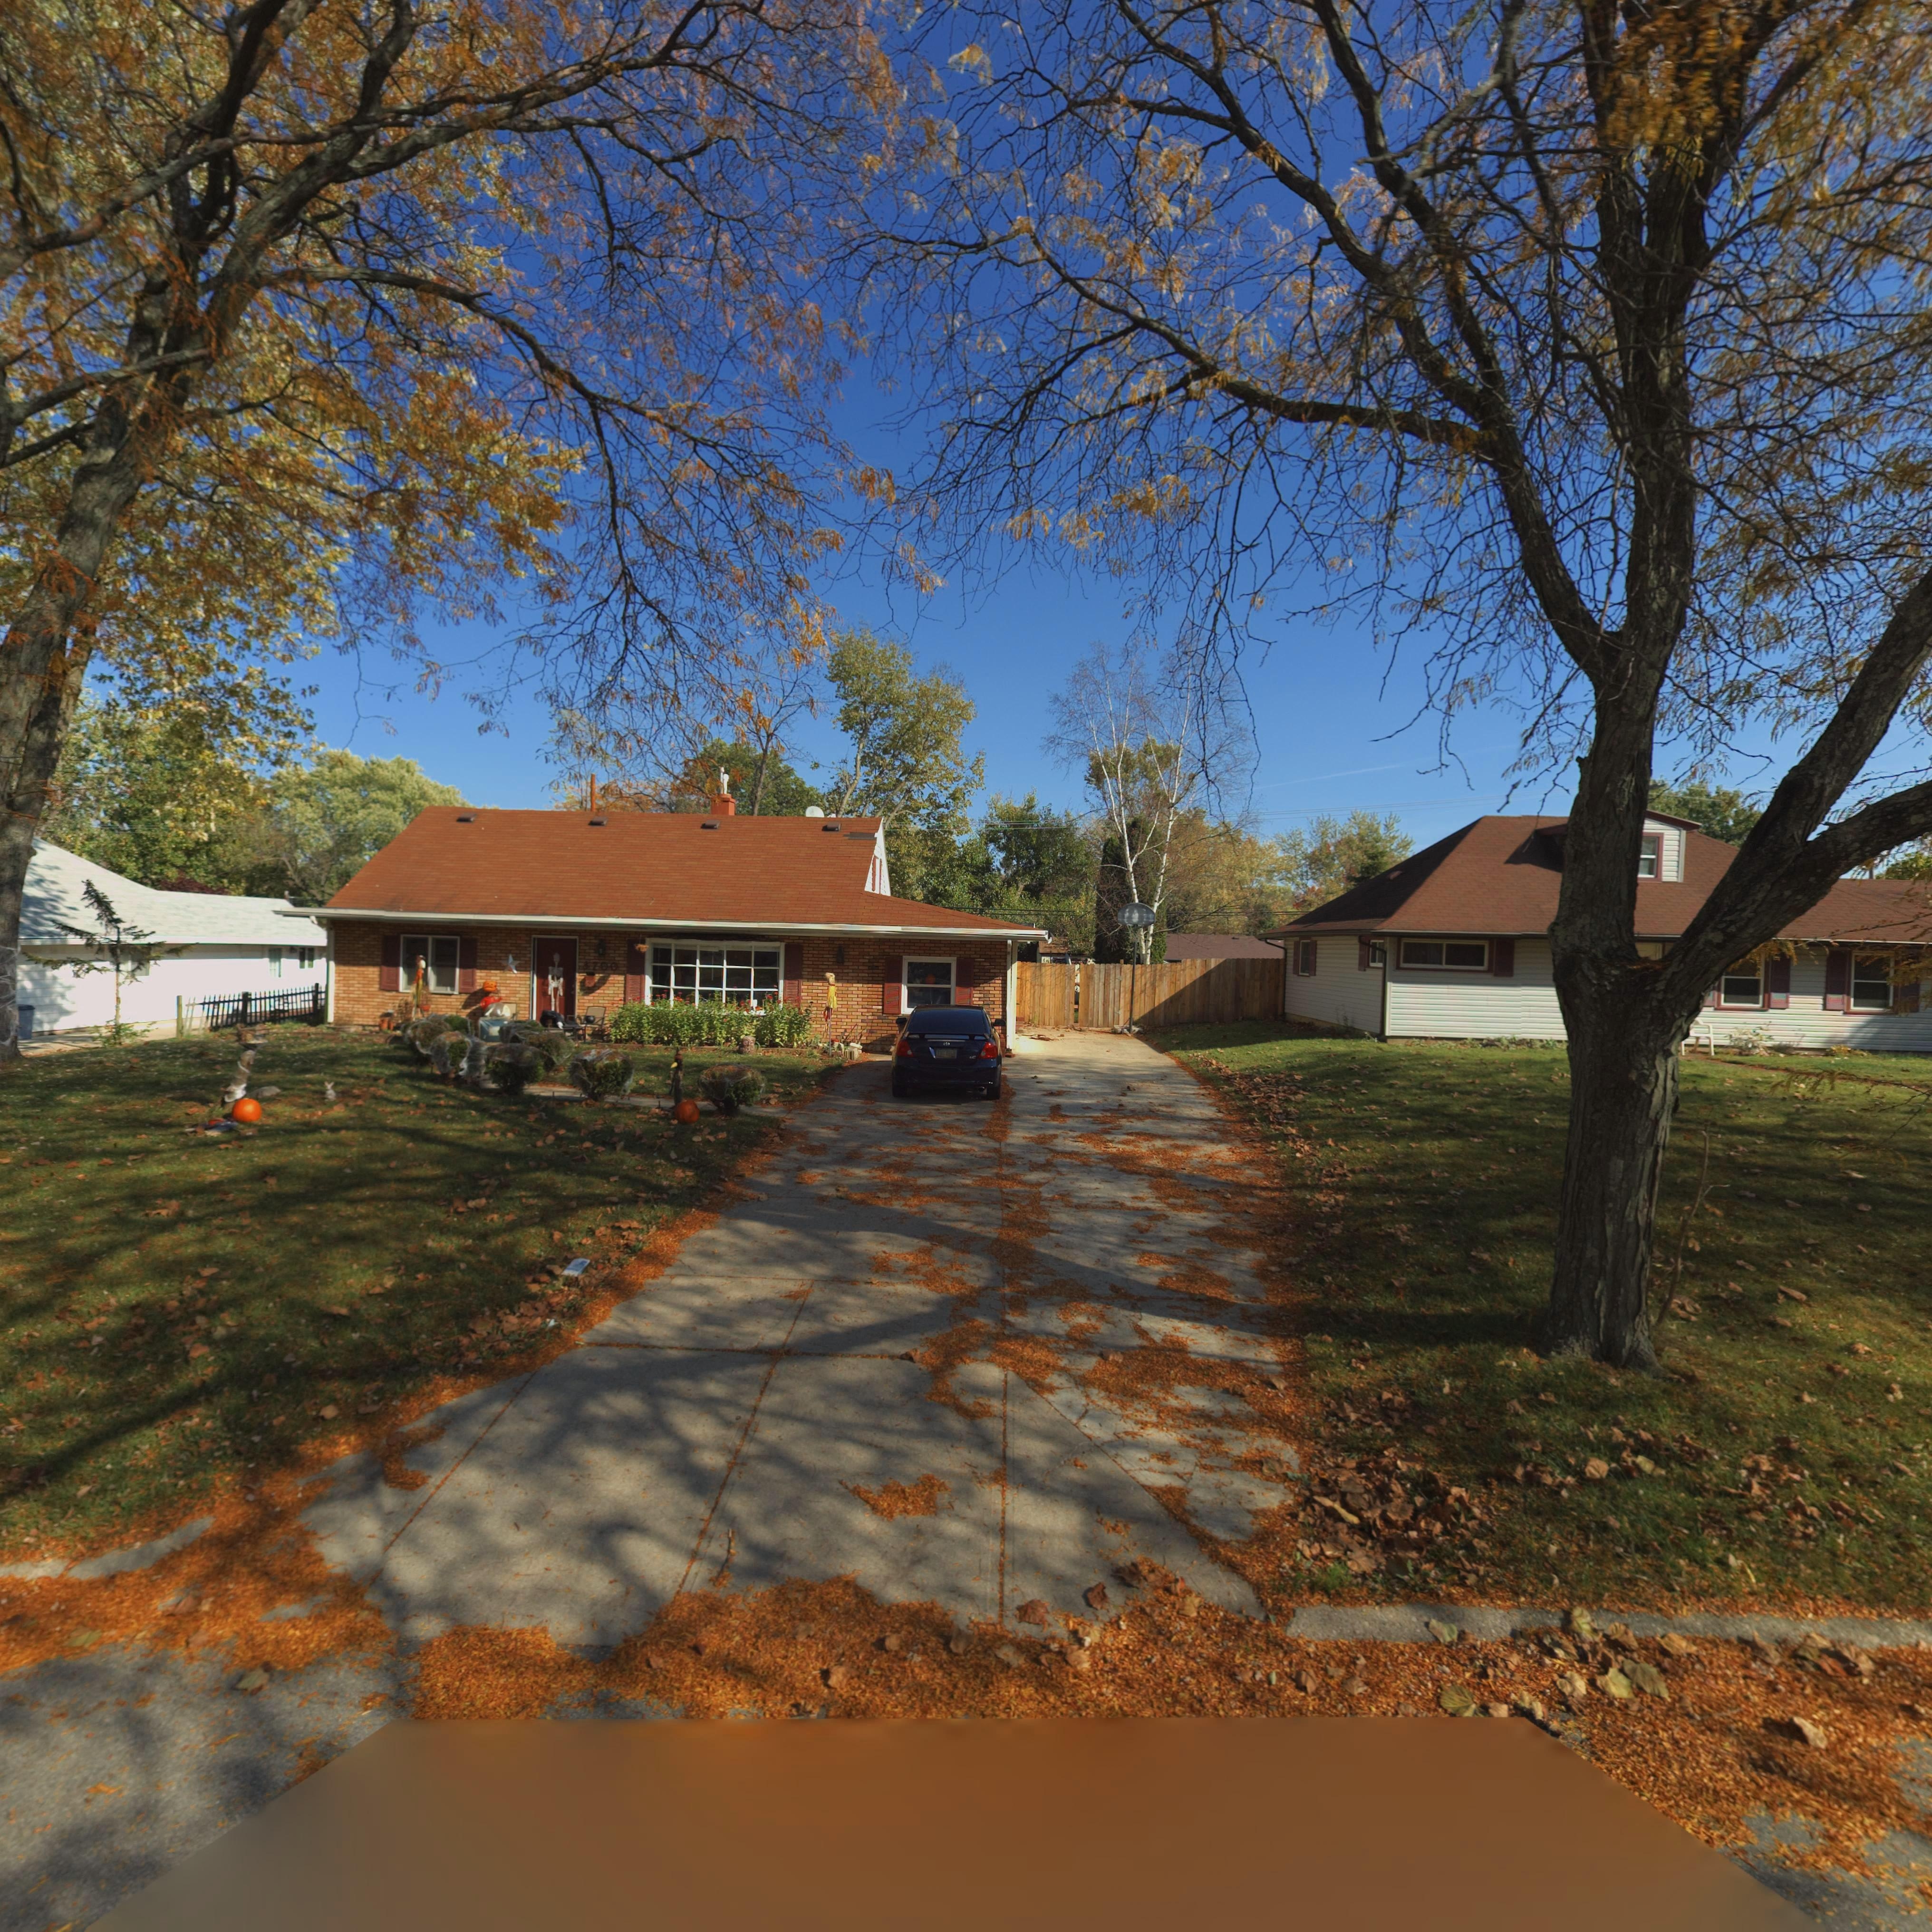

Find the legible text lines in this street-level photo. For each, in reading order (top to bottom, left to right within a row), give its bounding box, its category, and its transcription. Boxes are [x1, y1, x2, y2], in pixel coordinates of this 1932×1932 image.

[581, 960, 619, 972] StreetNumber: 3700